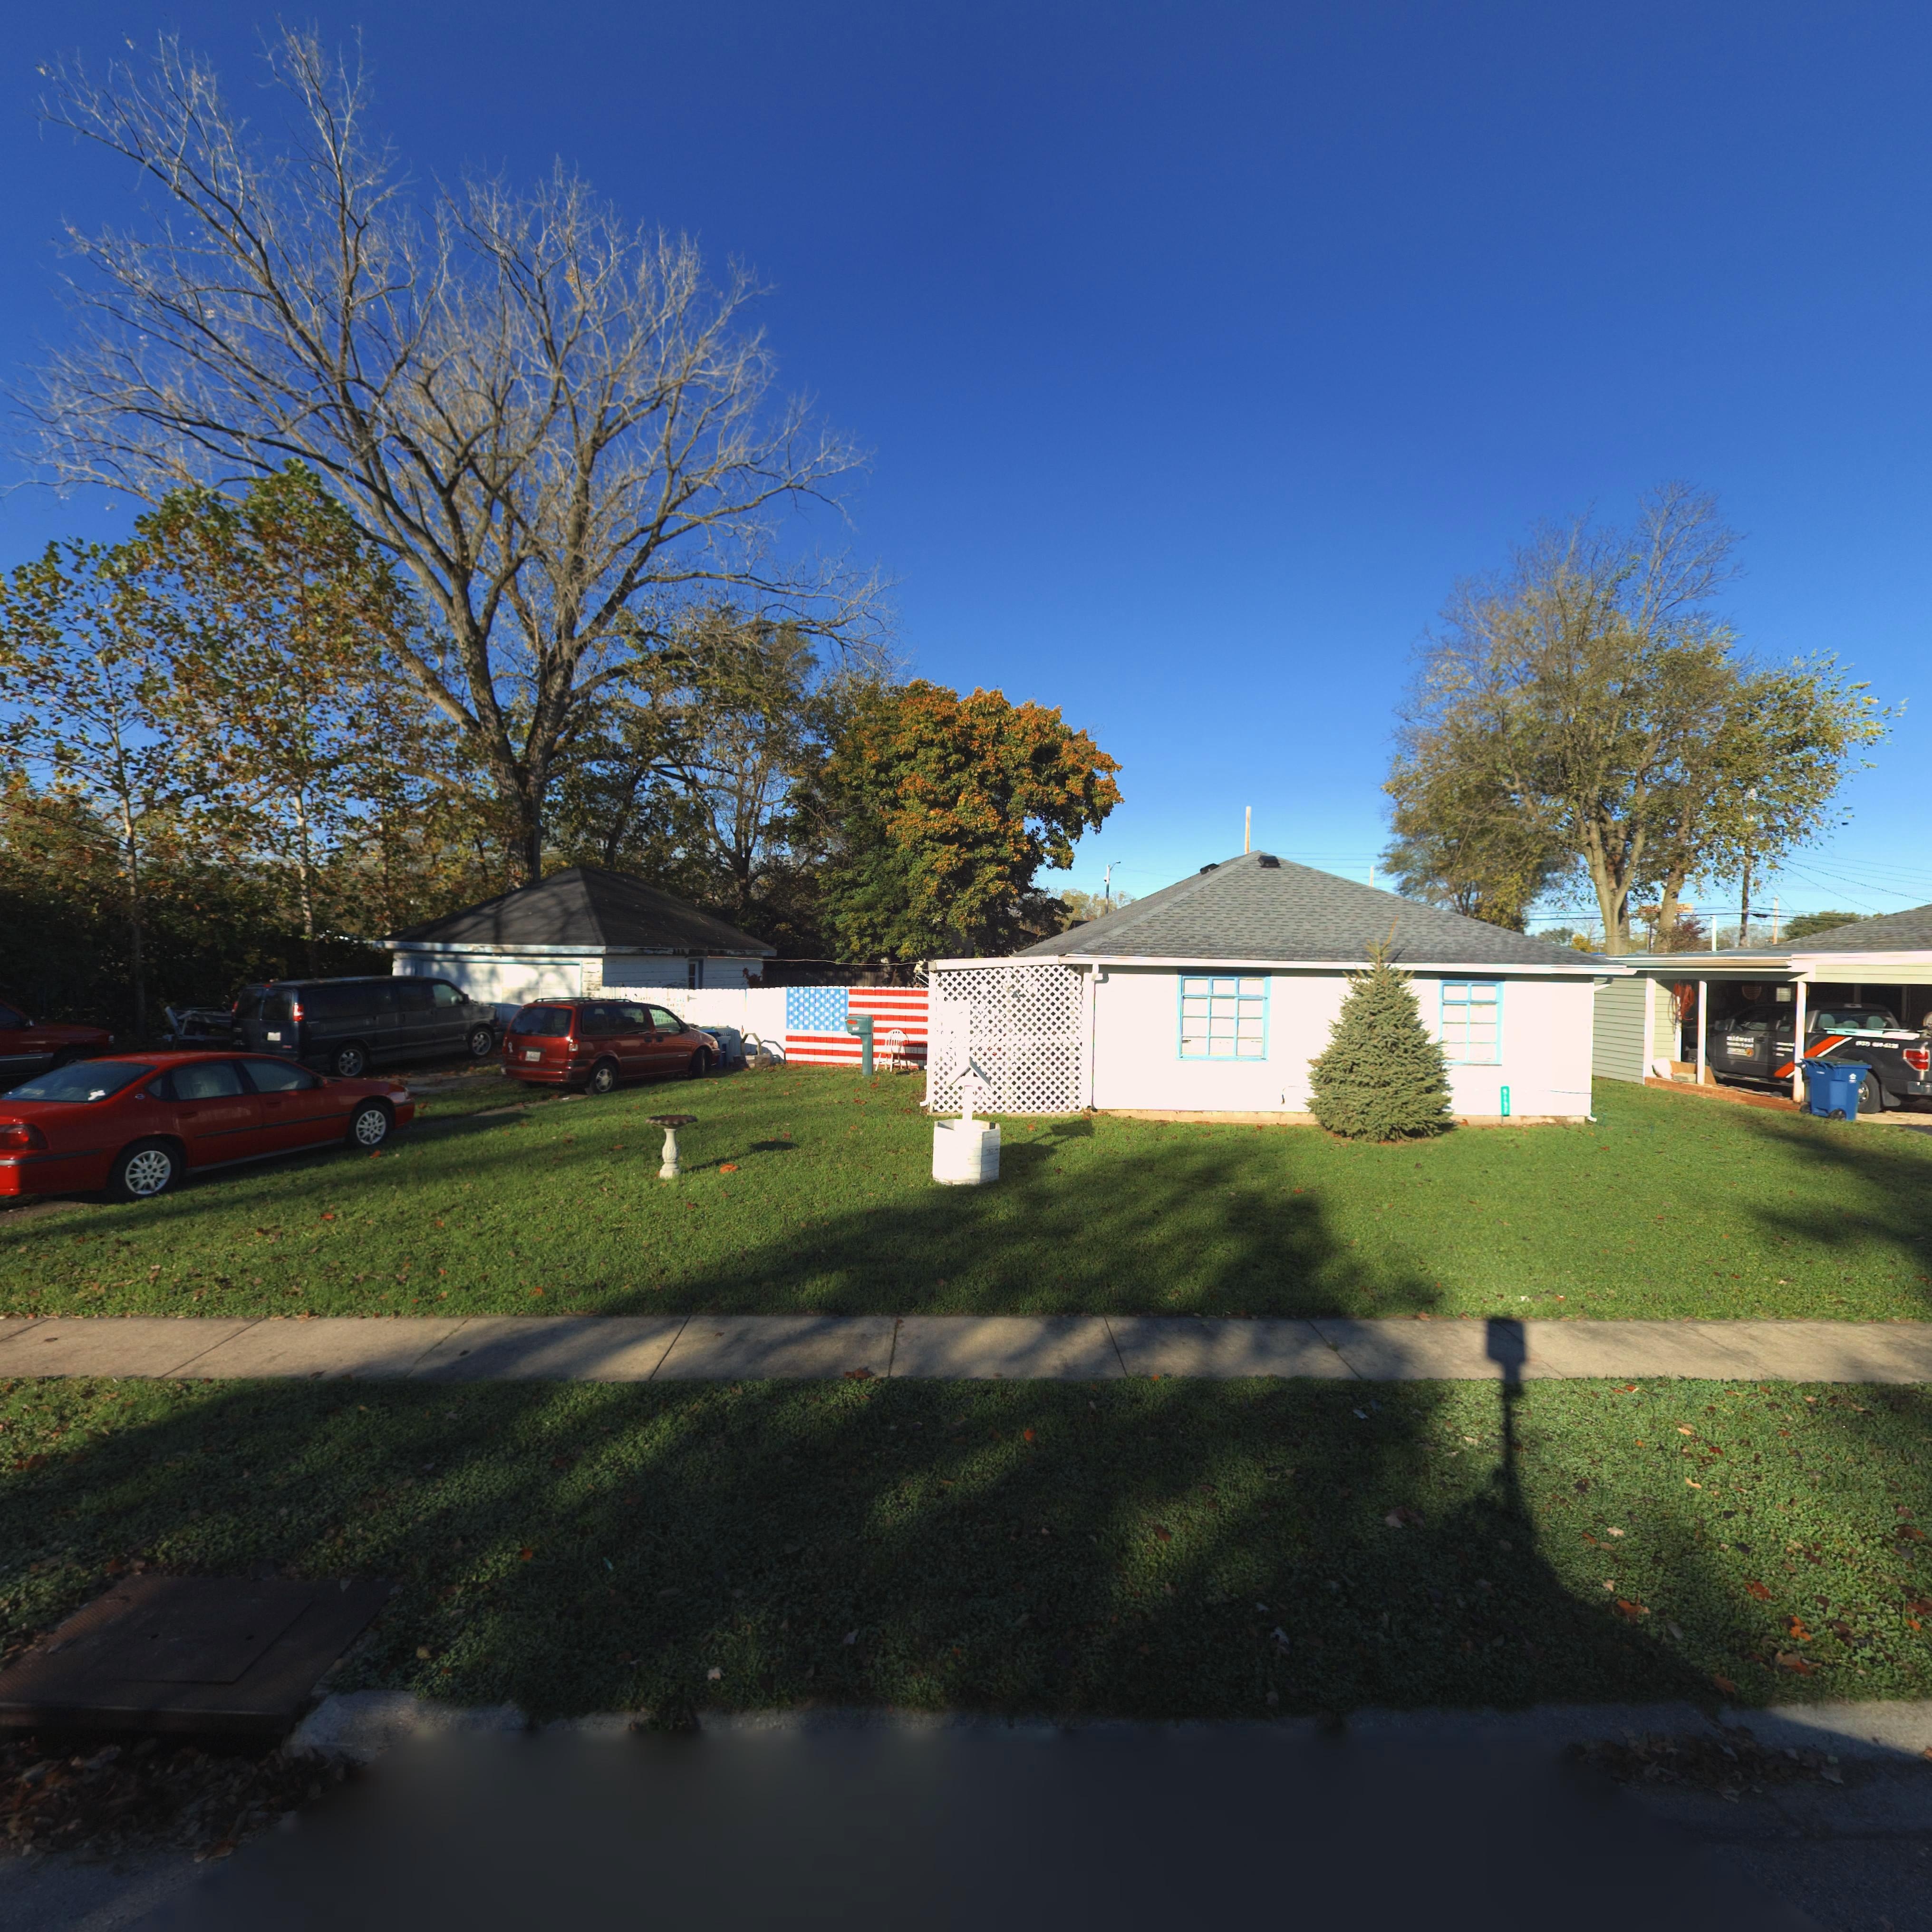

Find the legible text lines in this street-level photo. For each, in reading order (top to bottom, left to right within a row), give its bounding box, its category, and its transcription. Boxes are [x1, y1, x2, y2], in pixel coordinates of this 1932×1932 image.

[1502, 1088, 1508, 1114] StreetNumber: 5137